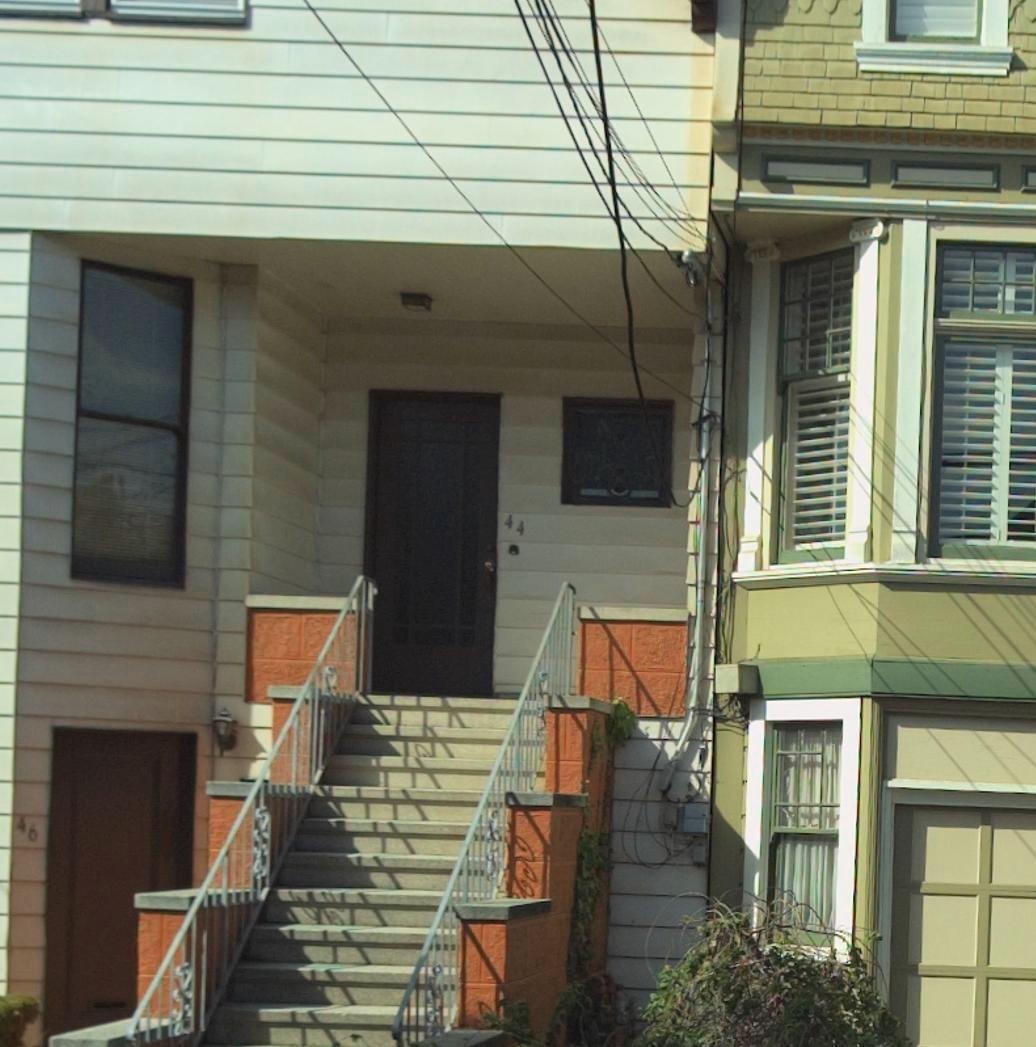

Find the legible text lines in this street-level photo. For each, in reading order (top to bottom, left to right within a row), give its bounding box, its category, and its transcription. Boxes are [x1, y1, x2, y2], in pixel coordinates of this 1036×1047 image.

[502, 513, 526, 537] StreetNumber: 44